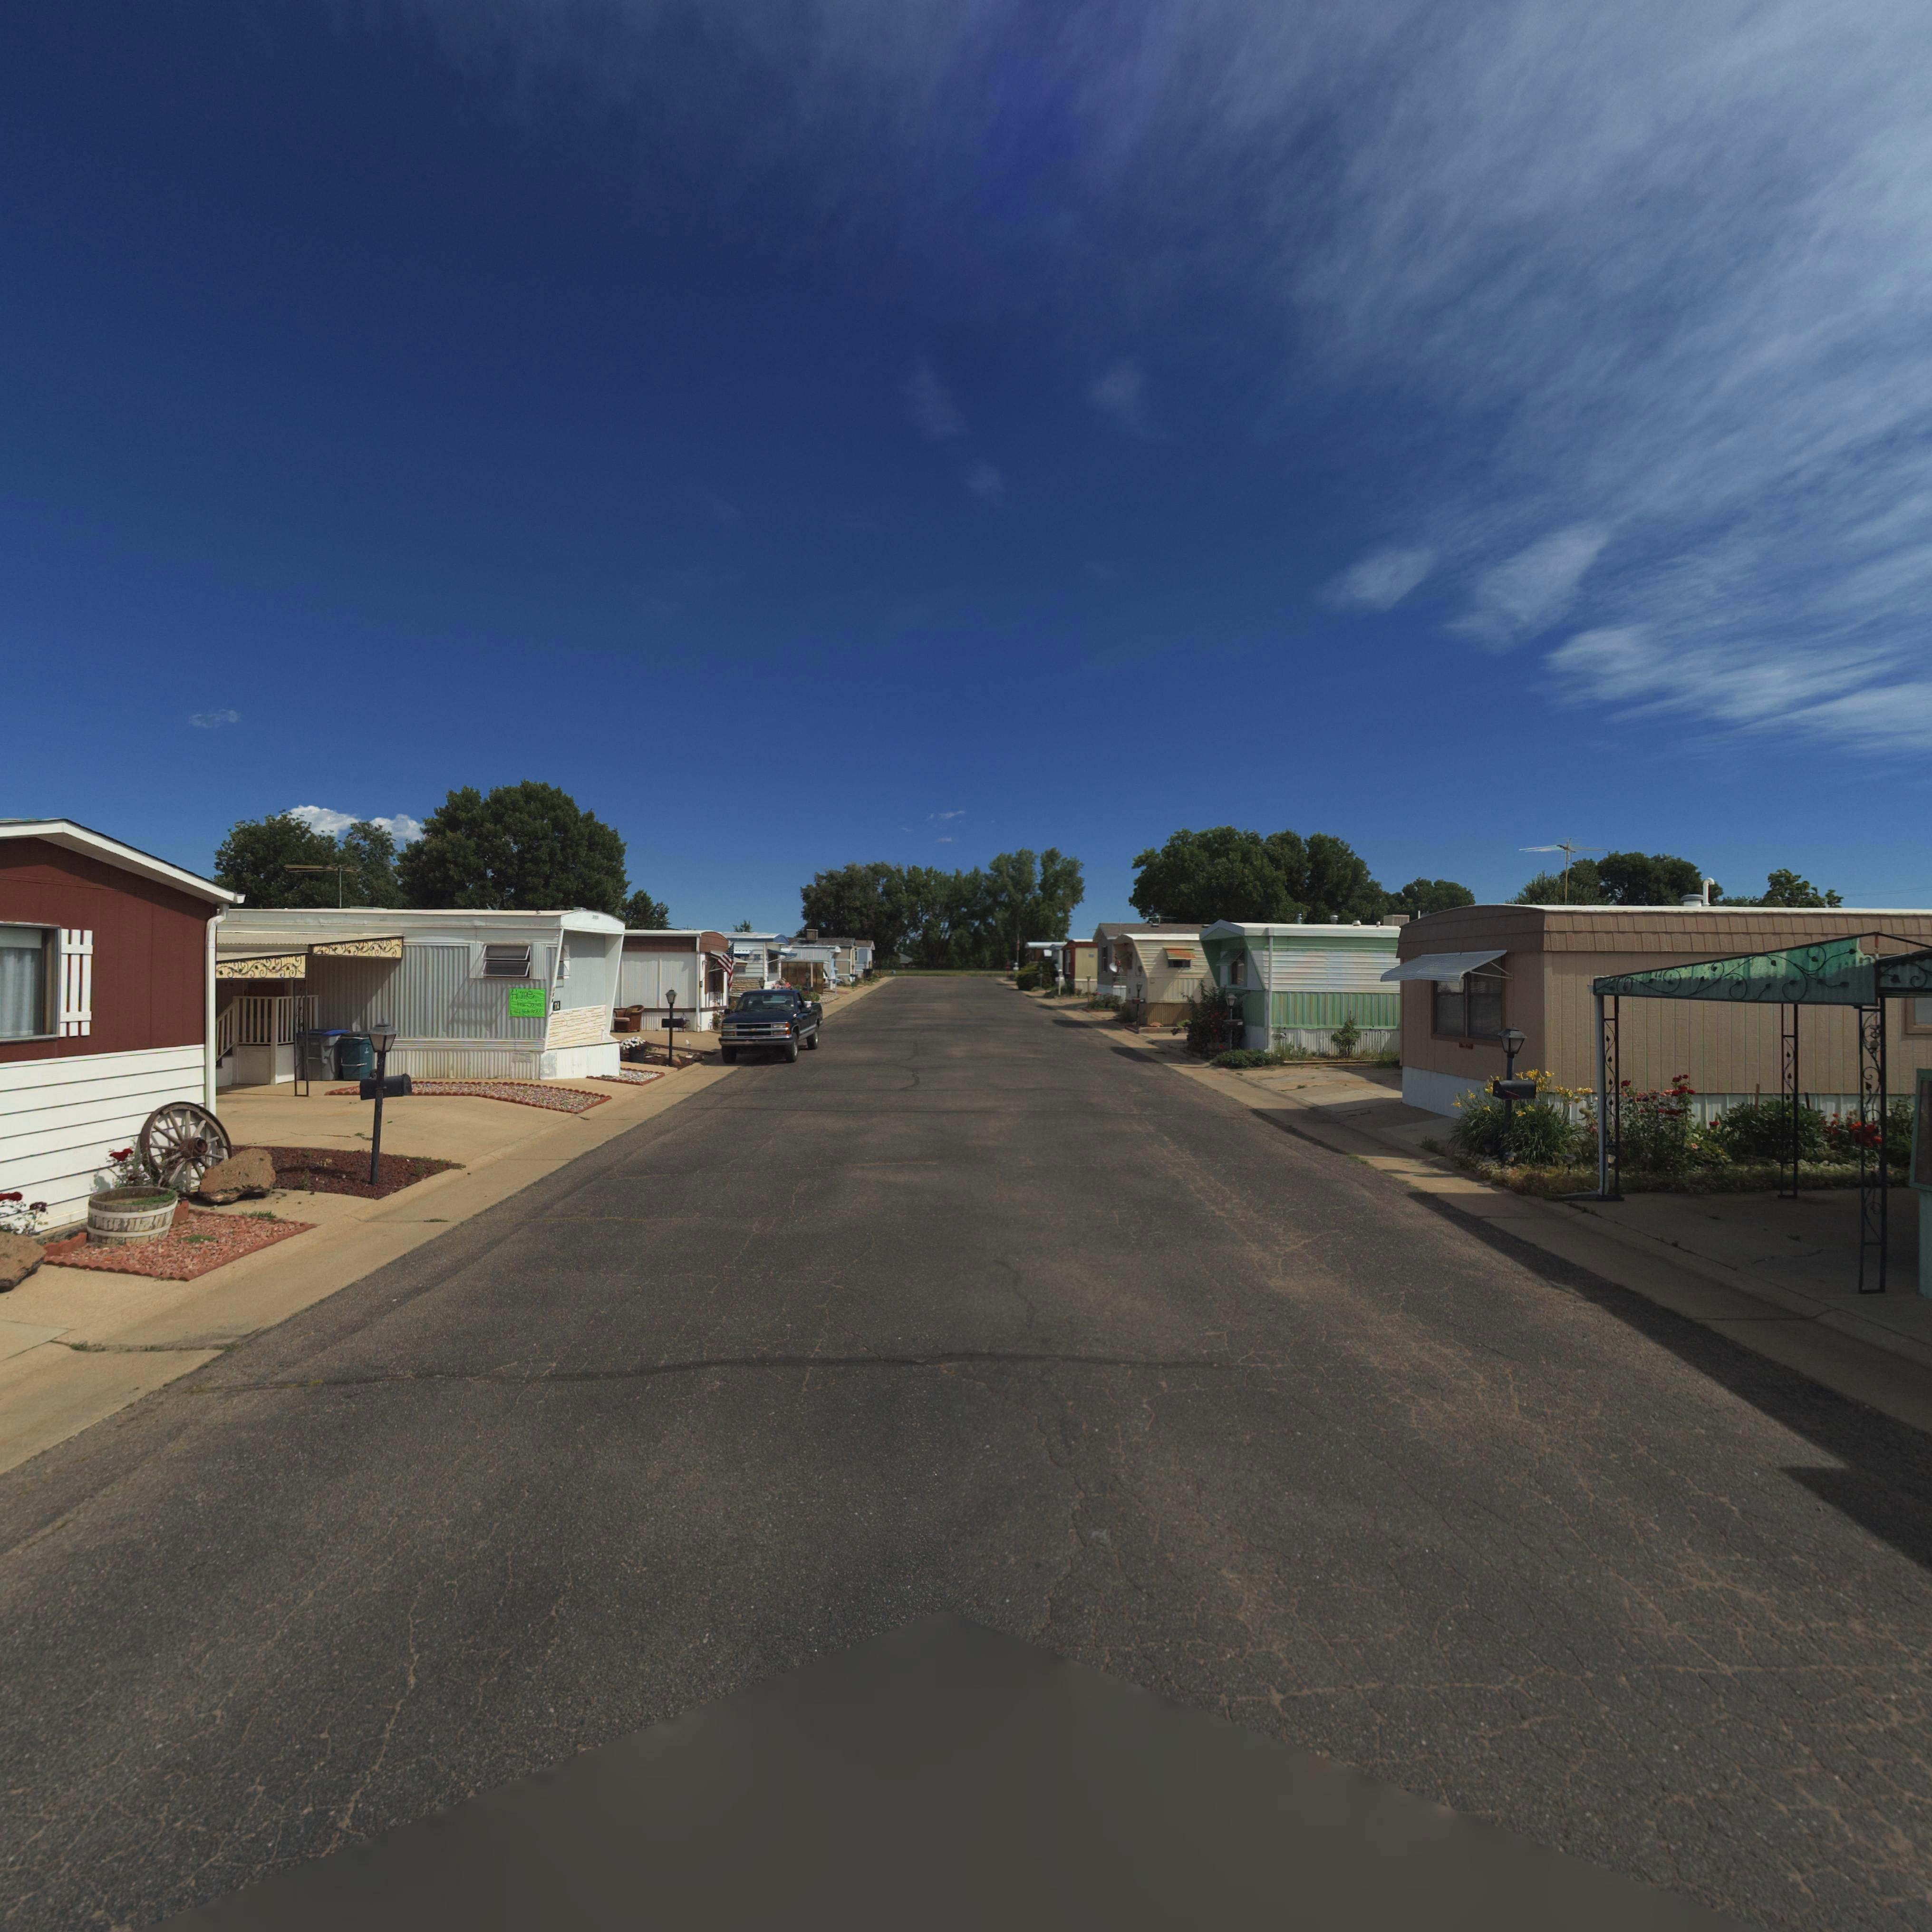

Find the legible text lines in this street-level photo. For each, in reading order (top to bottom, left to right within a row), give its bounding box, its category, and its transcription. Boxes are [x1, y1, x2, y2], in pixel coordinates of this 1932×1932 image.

[553, 1002, 560, 1011] StreetNumber: 114